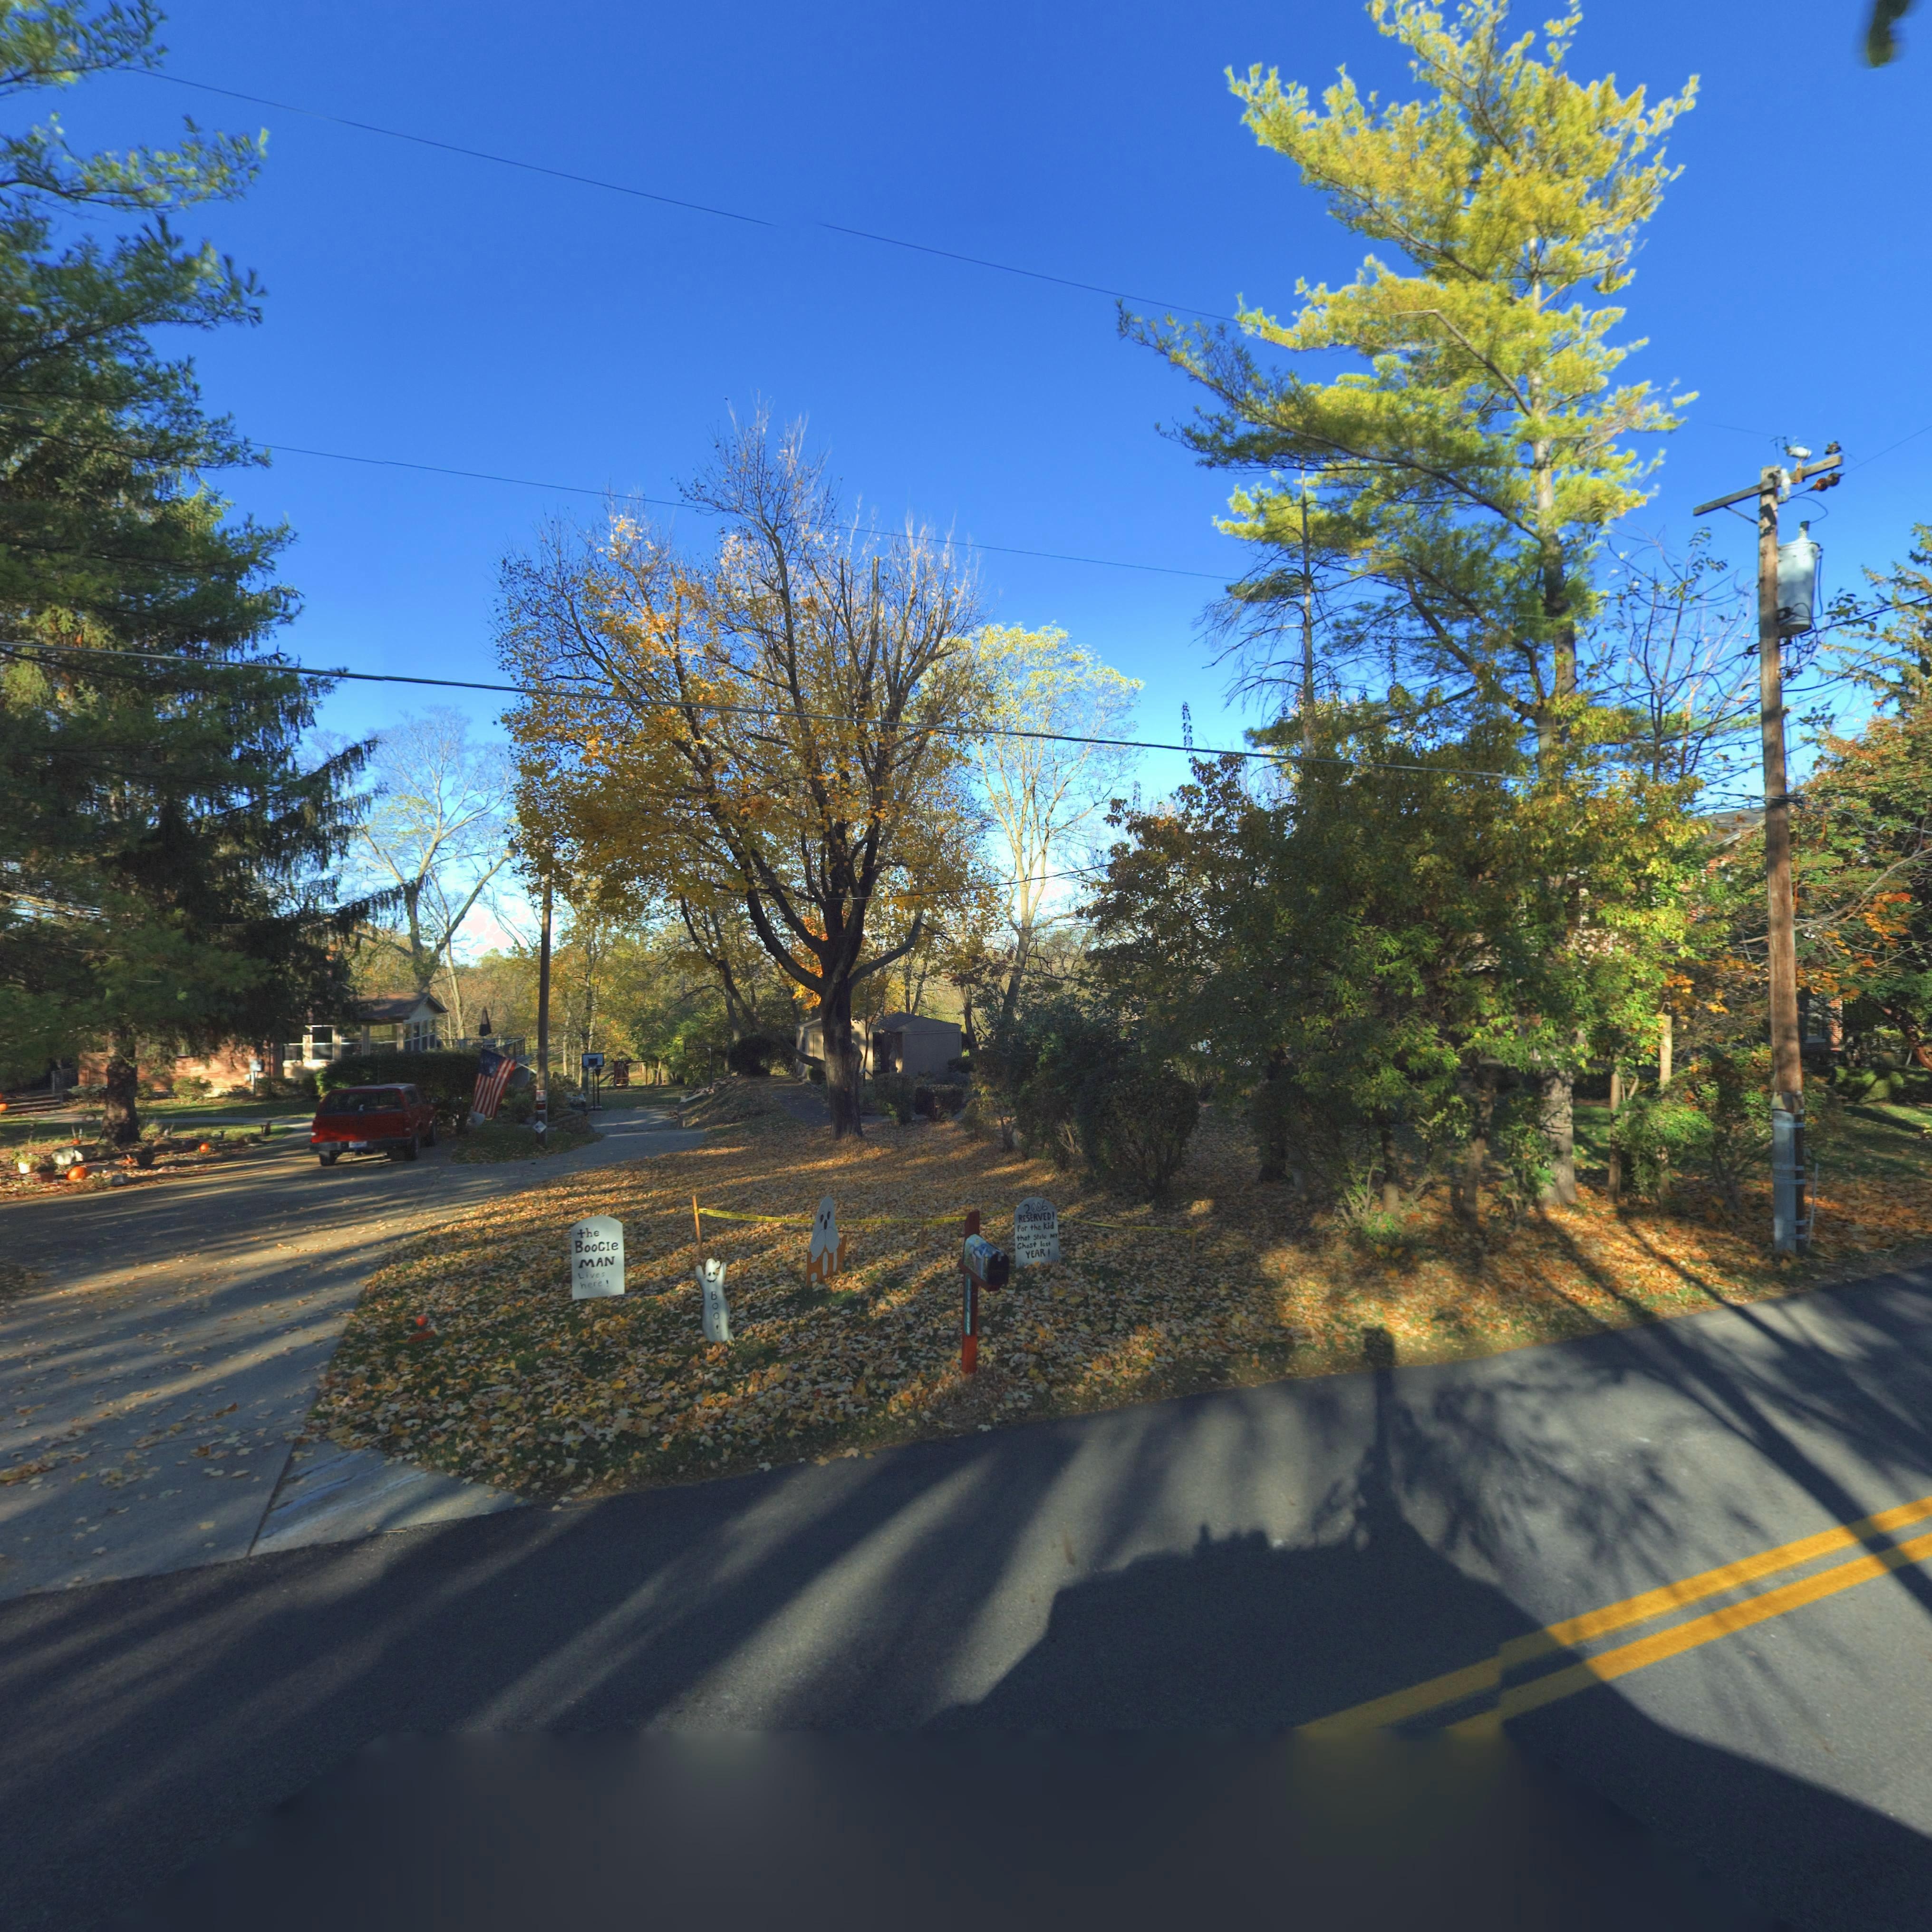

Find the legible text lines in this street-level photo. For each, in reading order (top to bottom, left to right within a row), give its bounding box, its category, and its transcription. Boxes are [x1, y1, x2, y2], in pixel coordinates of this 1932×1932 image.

[1021, 1198, 1048, 1215] None: 2006
[1017, 1210, 1054, 1224] None: RESERVED!
[575, 1227, 600, 1239] None: the
[1016, 1220, 1054, 1233] None: For the kid
[1014, 1231, 1058, 1242] None: that stole my
[572, 1239, 619, 1255] None: BooGie
[1016, 1240, 1051, 1251] None: Ghost last
[1024, 1247, 1051, 1260] None: YEAR!
[578, 1256, 616, 1269] None: MAN
[576, 1271, 605, 1281] None: Lives
[579, 1278, 609, 1290] None: here
[709, 1290, 721, 1335] None: BOO!
[965, 1277, 972, 1336] StreetNumber: 10495